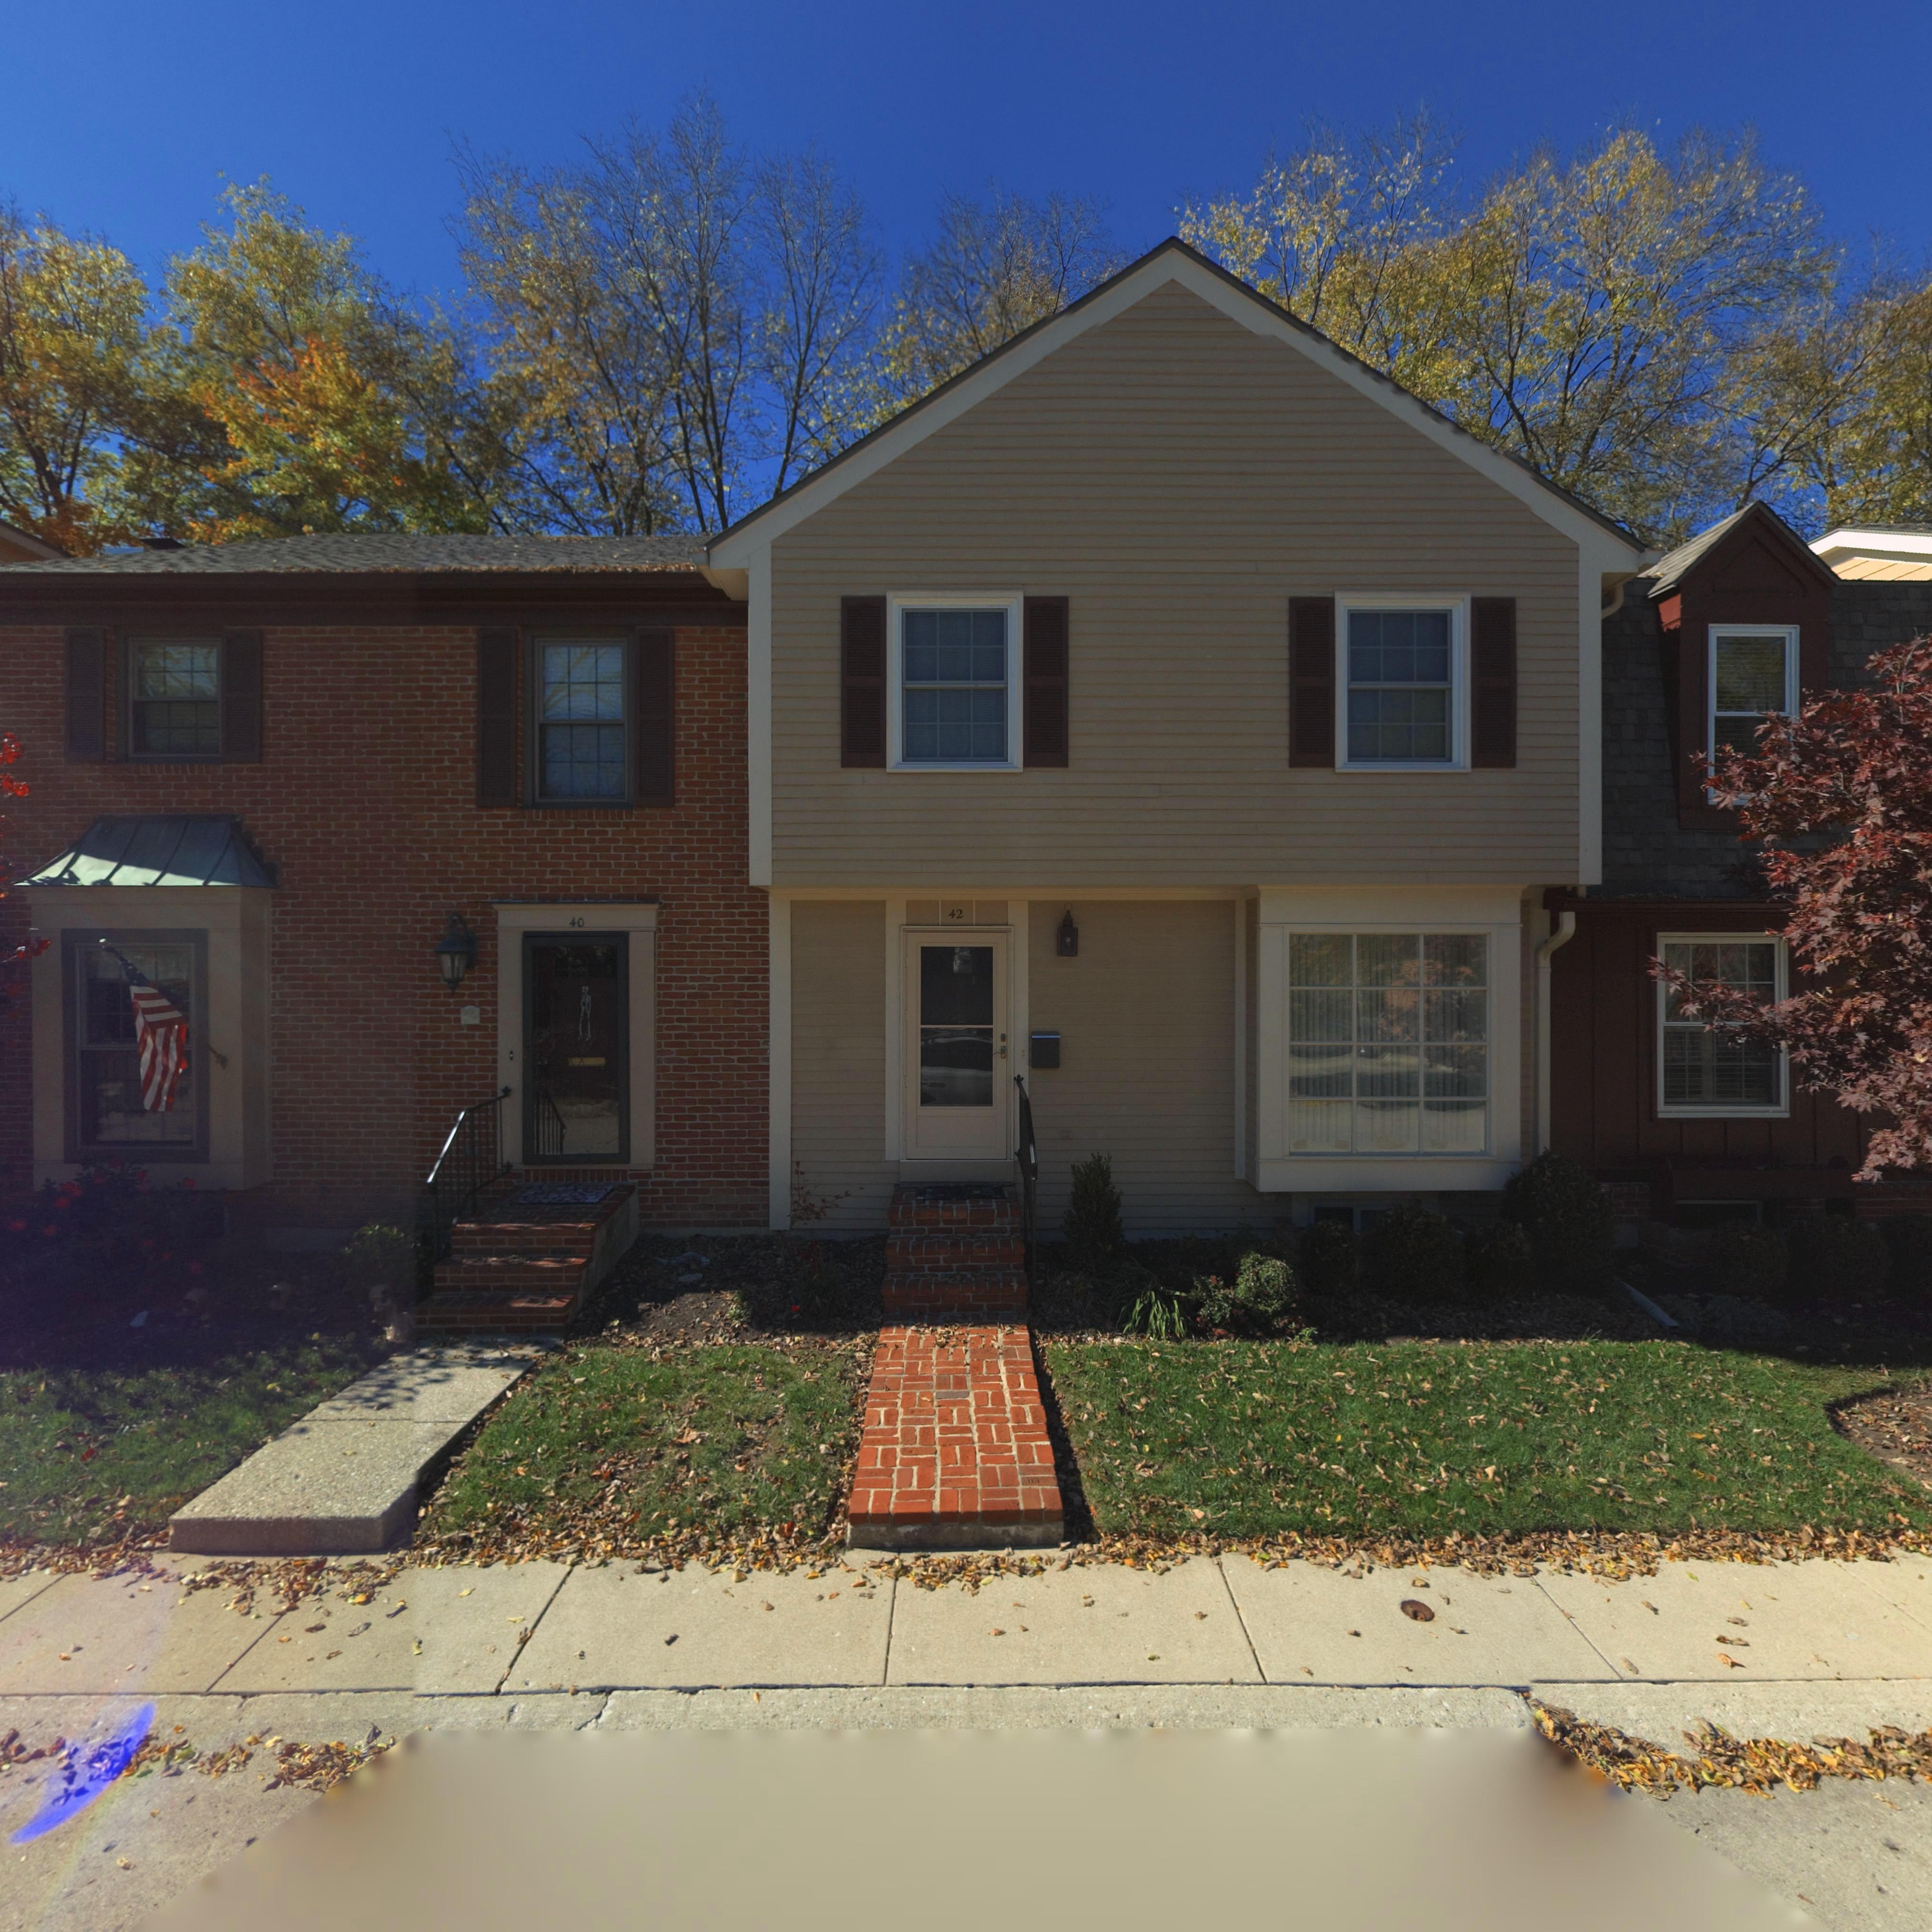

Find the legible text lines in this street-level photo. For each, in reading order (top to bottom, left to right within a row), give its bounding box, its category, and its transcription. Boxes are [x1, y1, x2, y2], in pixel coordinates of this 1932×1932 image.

[947, 908, 963, 920] StreetNumber: 42
[568, 917, 585, 927] StreetNumber: 40